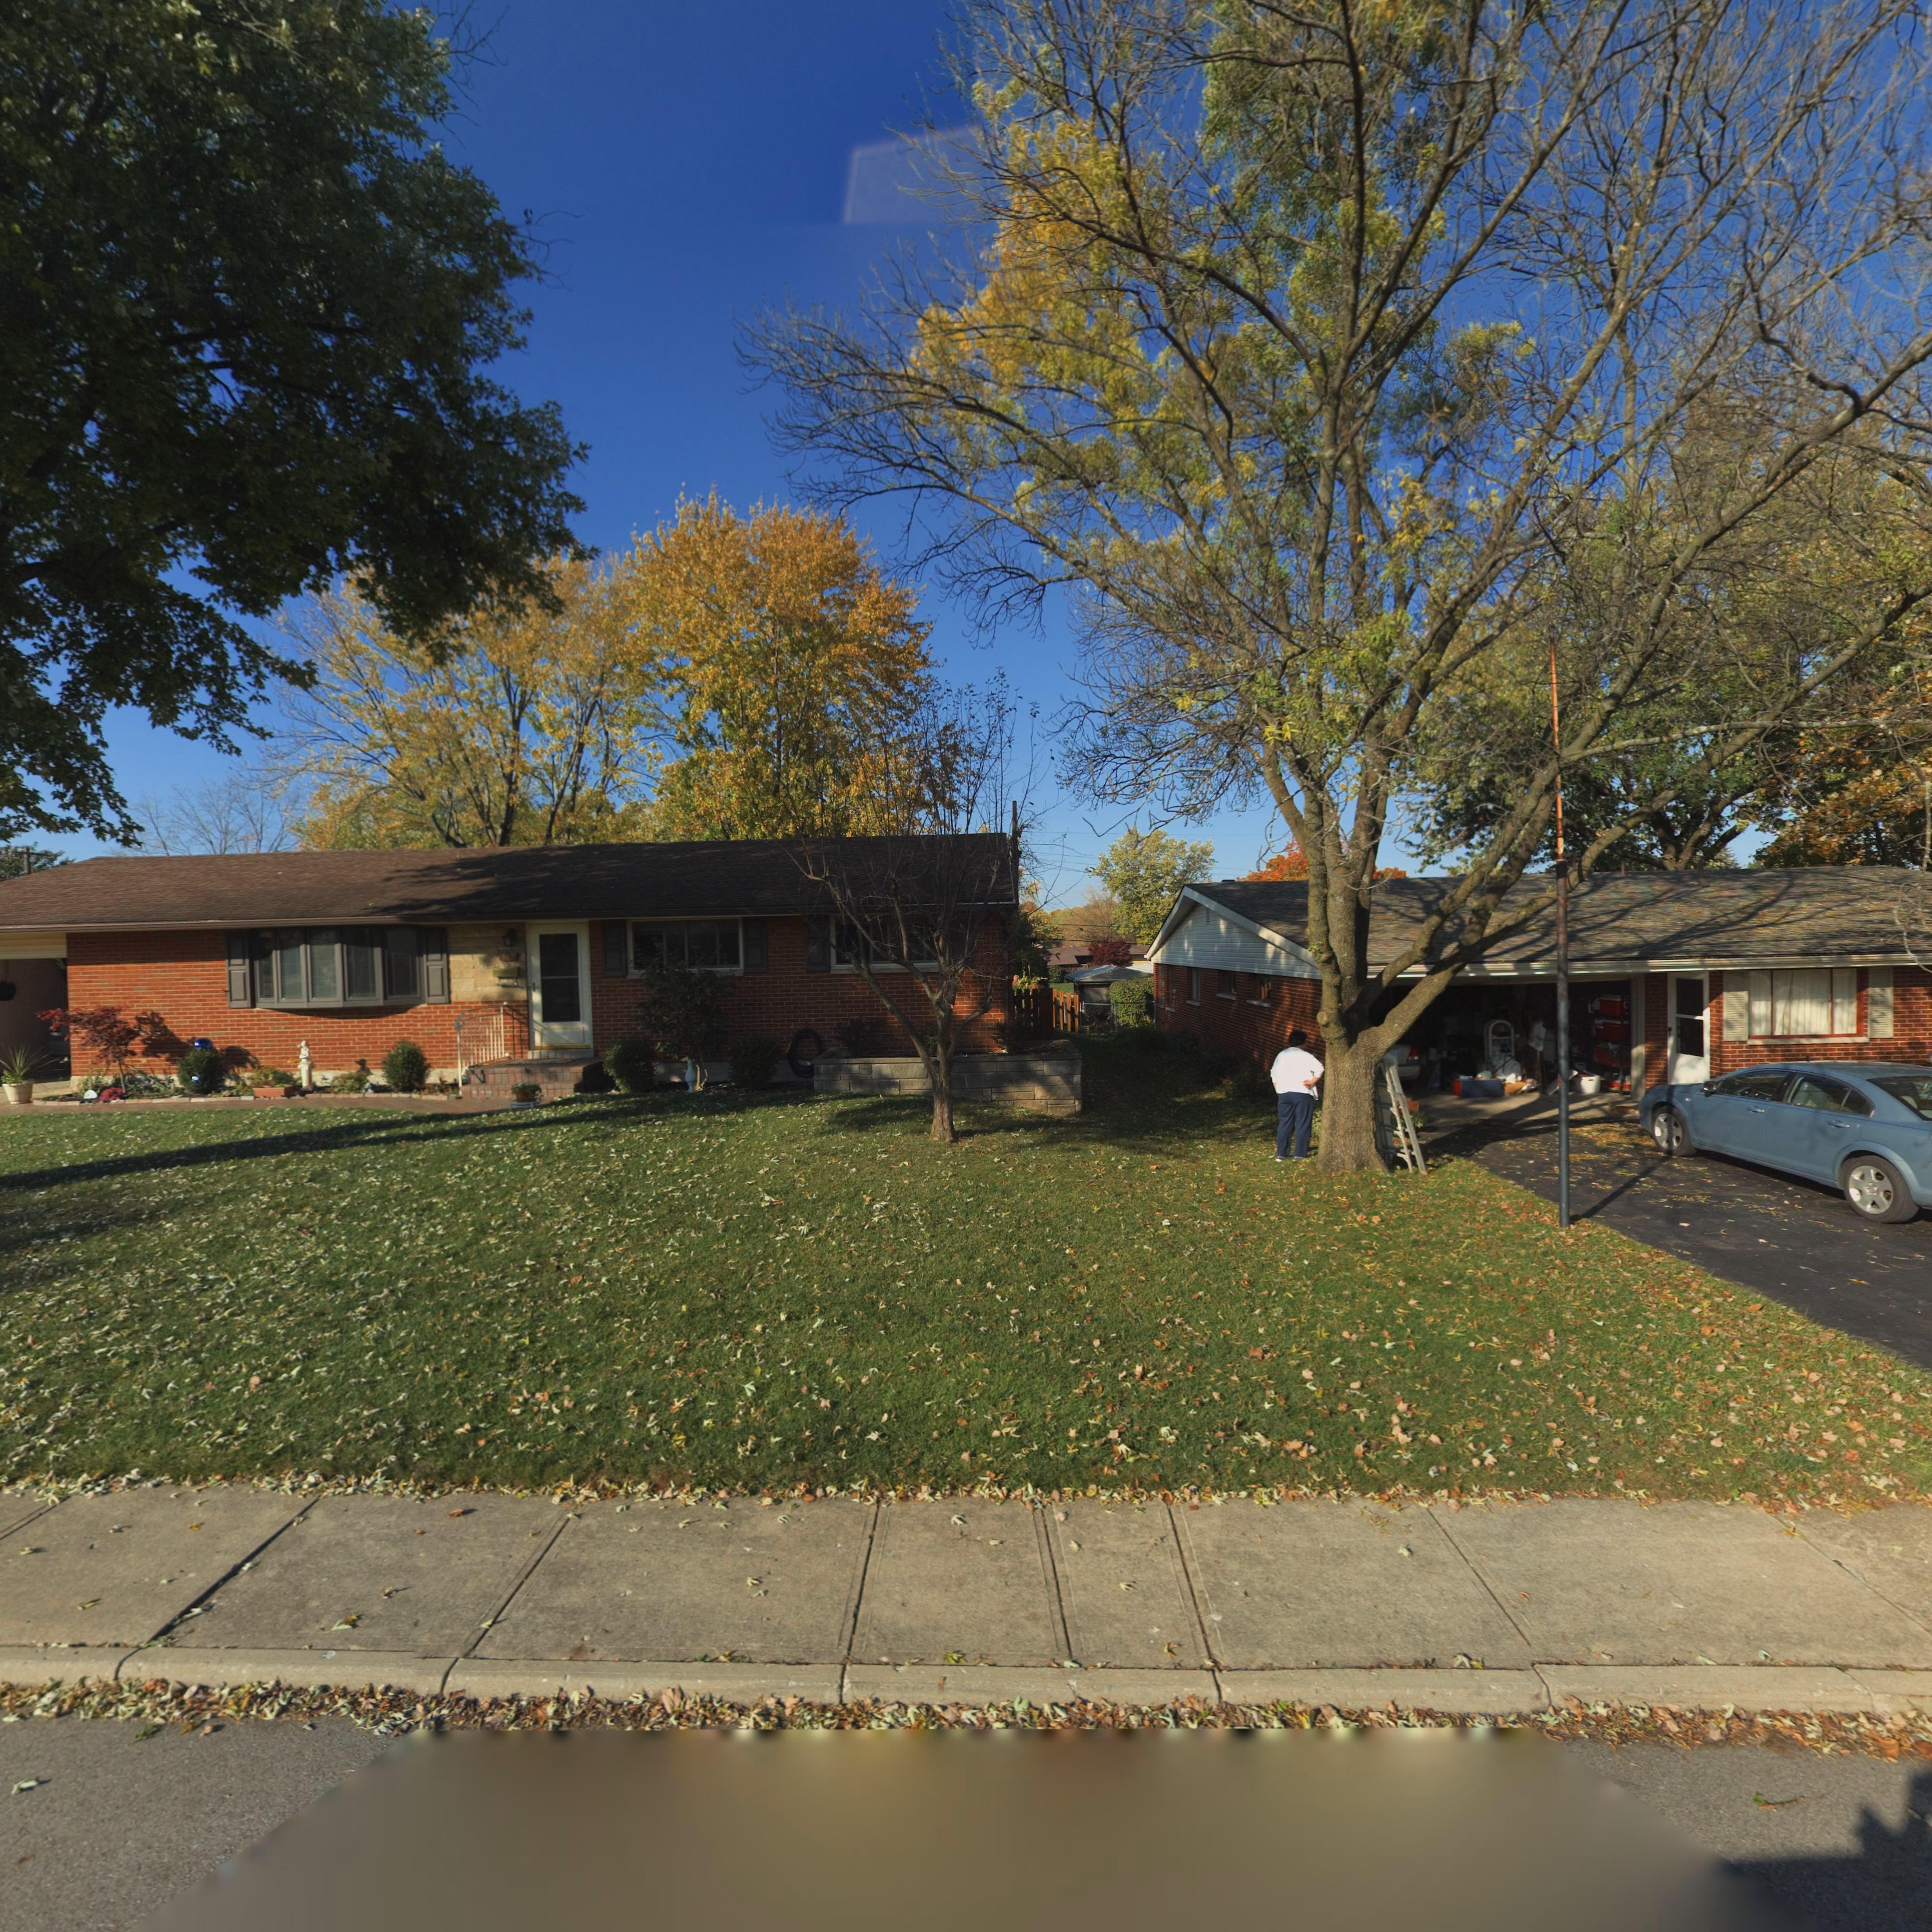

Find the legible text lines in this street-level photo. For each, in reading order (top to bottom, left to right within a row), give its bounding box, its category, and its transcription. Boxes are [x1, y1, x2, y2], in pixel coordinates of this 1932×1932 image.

[502, 952, 515, 961] StreetNumber: 813